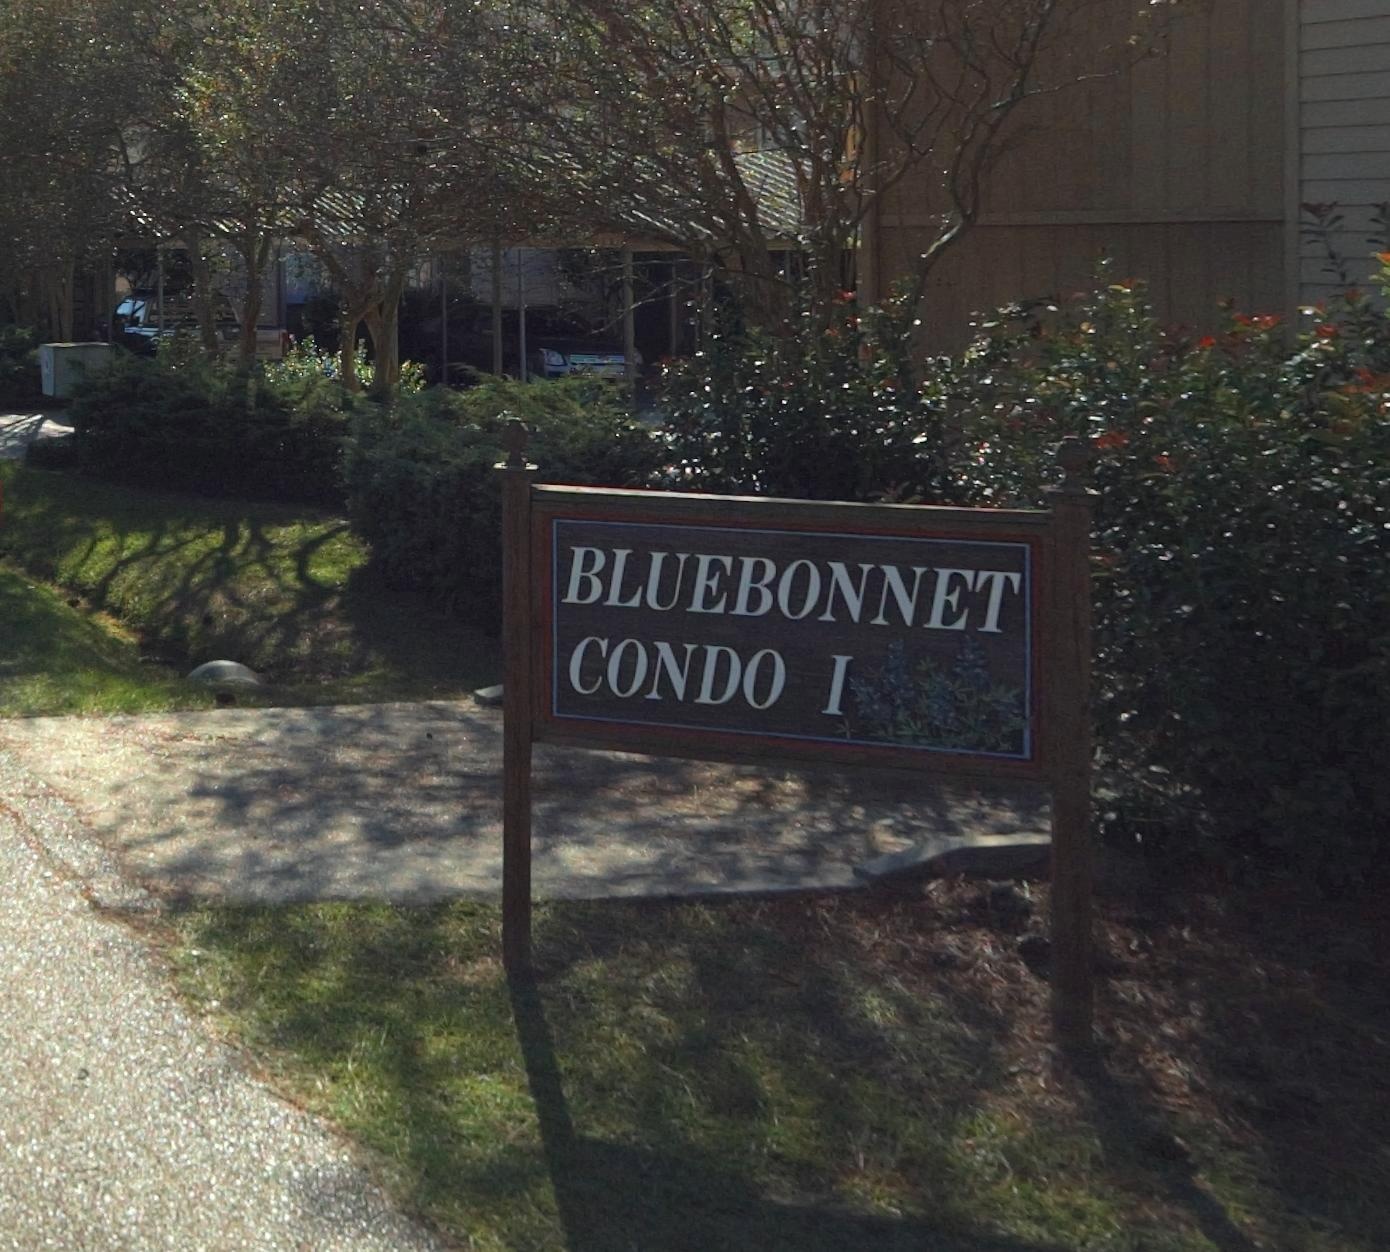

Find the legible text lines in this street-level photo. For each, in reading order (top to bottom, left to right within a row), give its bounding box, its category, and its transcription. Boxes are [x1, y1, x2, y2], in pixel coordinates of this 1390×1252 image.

[558, 543, 1029, 636] BusinessName: BLUEBONNET
[567, 633, 859, 718] BusinessName: CONDO I